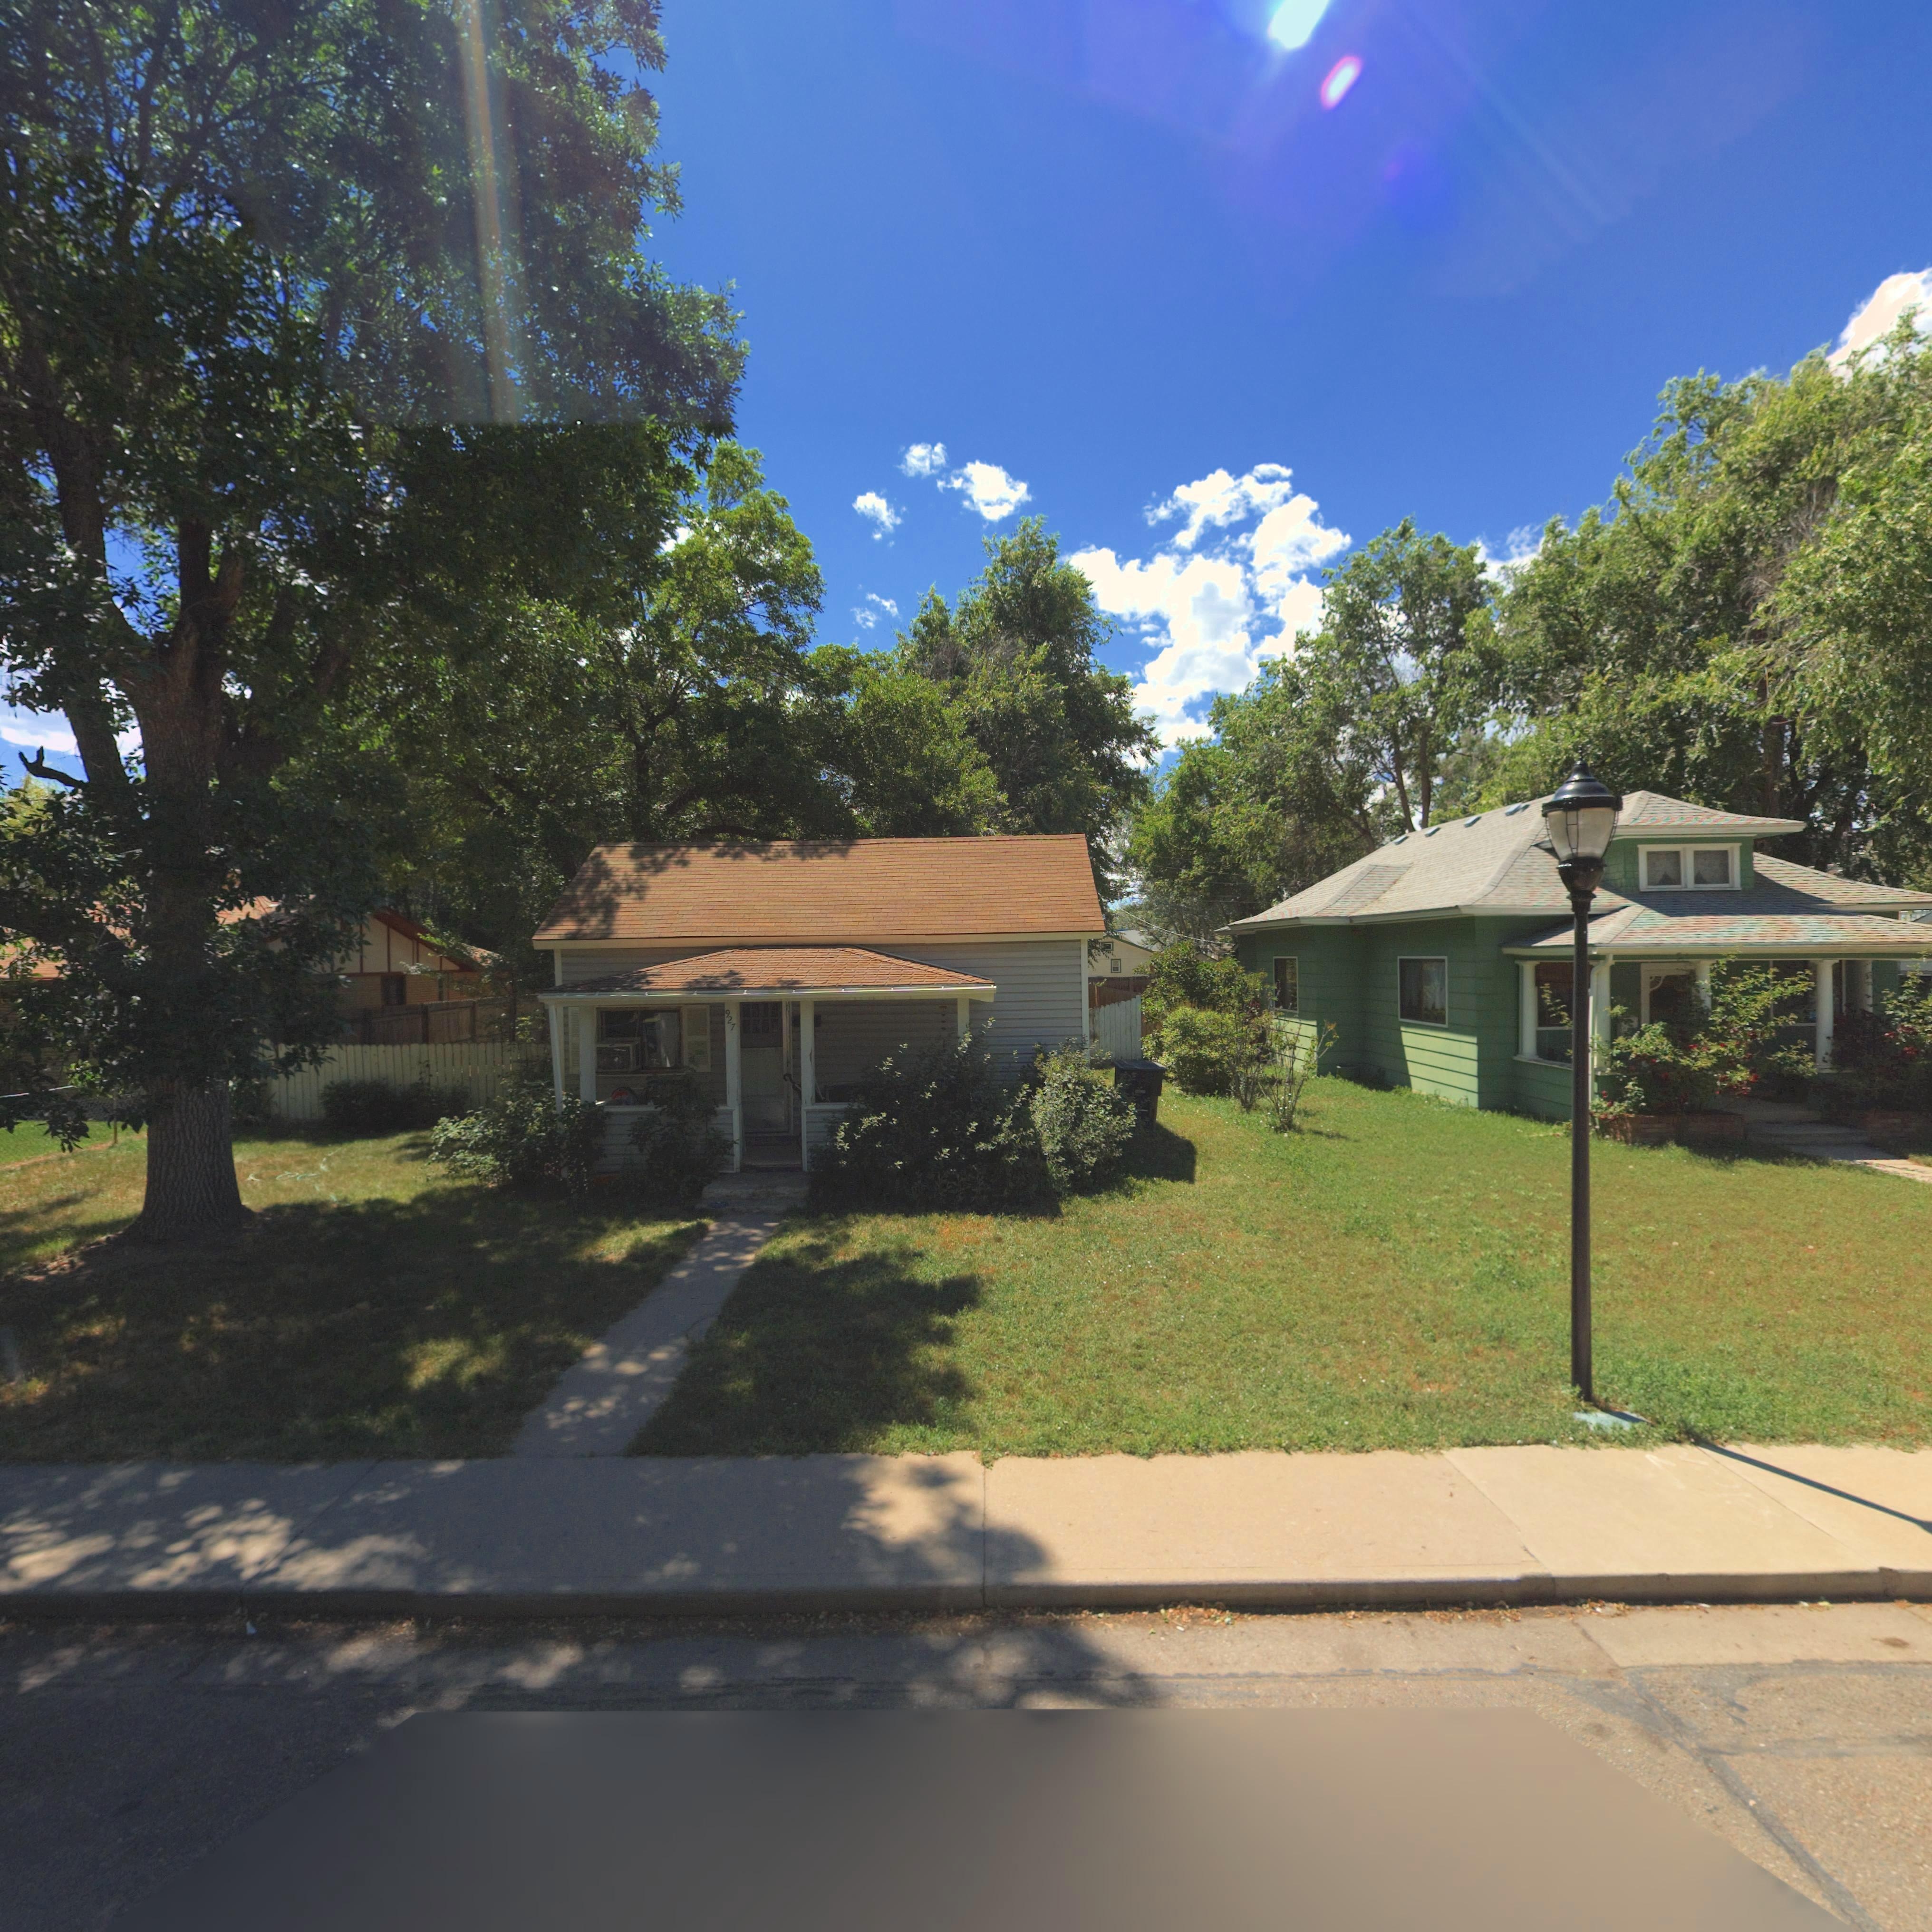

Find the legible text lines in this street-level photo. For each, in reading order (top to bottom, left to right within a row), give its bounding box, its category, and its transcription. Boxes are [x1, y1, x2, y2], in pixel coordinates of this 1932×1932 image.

[724, 1008, 735, 1031] StreetNumber: 927